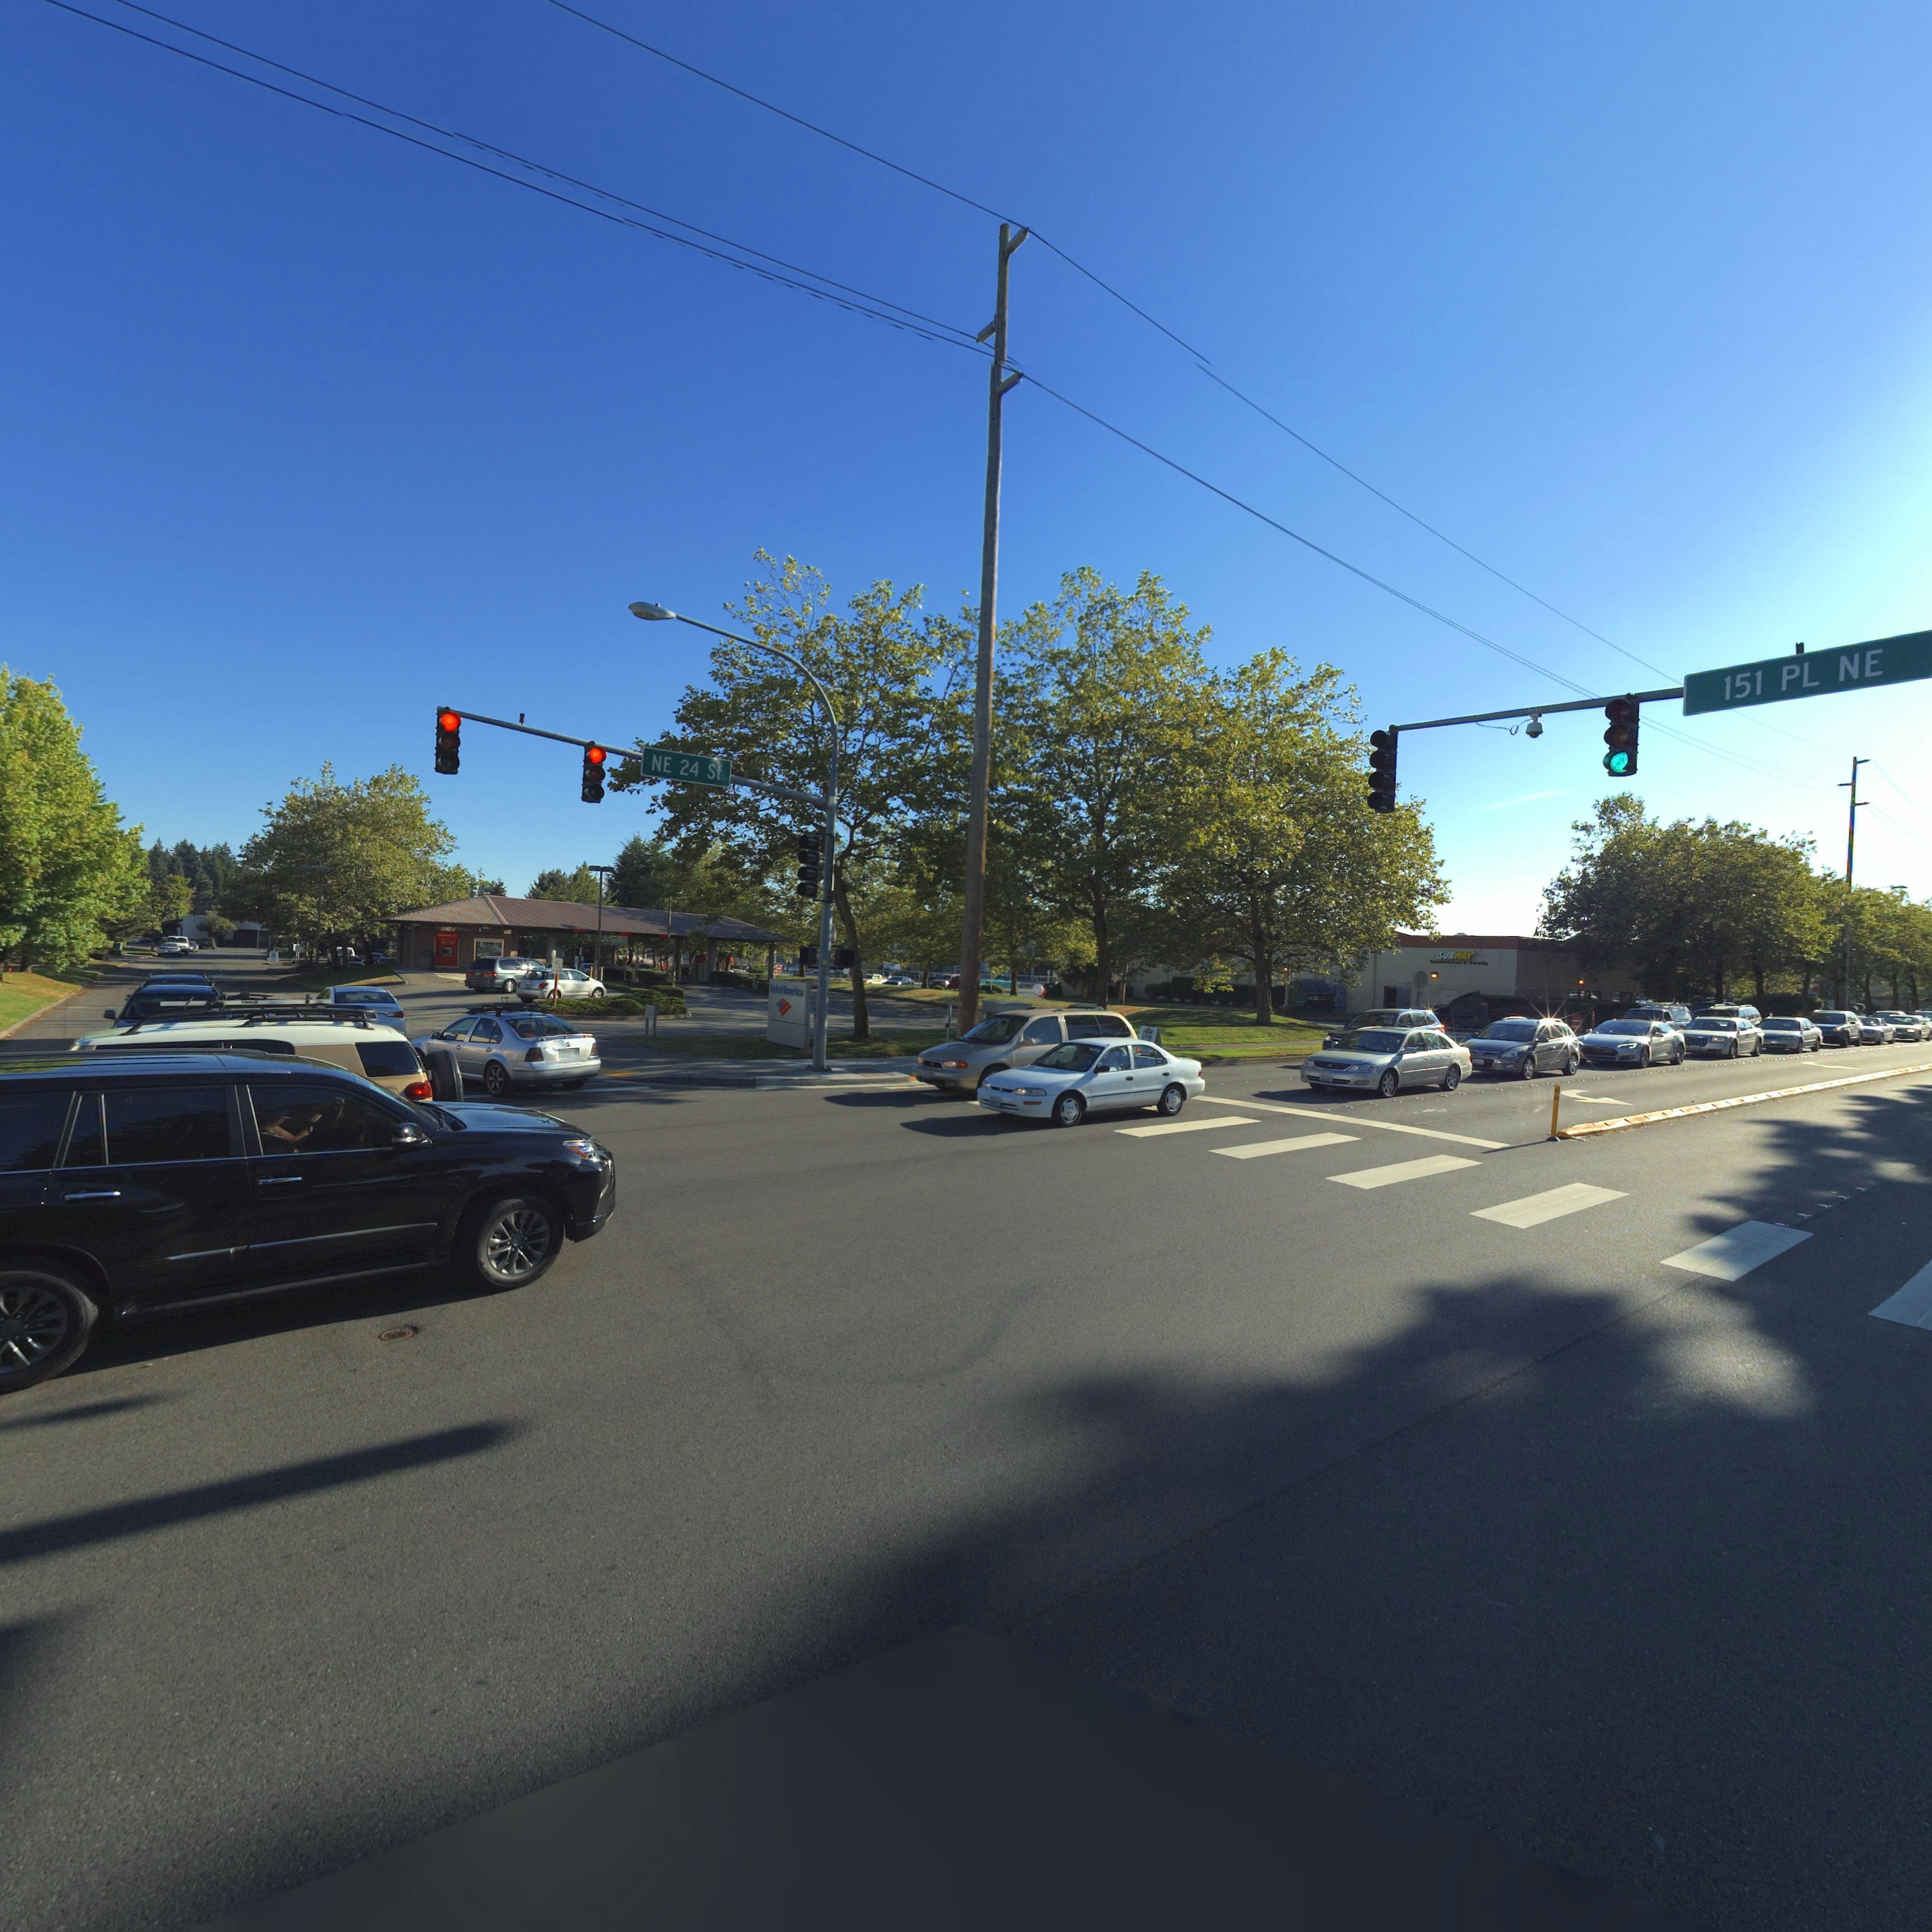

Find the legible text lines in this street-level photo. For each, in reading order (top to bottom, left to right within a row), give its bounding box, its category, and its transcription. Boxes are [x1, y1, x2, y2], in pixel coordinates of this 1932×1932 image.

[1721, 645, 1890, 705] StreetName: 151 PL NE
[649, 753, 725, 782] StreetName: NE 24 St
[1433, 949, 1479, 962] BusinessName: SUBWAY
[767, 981, 806, 998] BusinessName: Bank of America